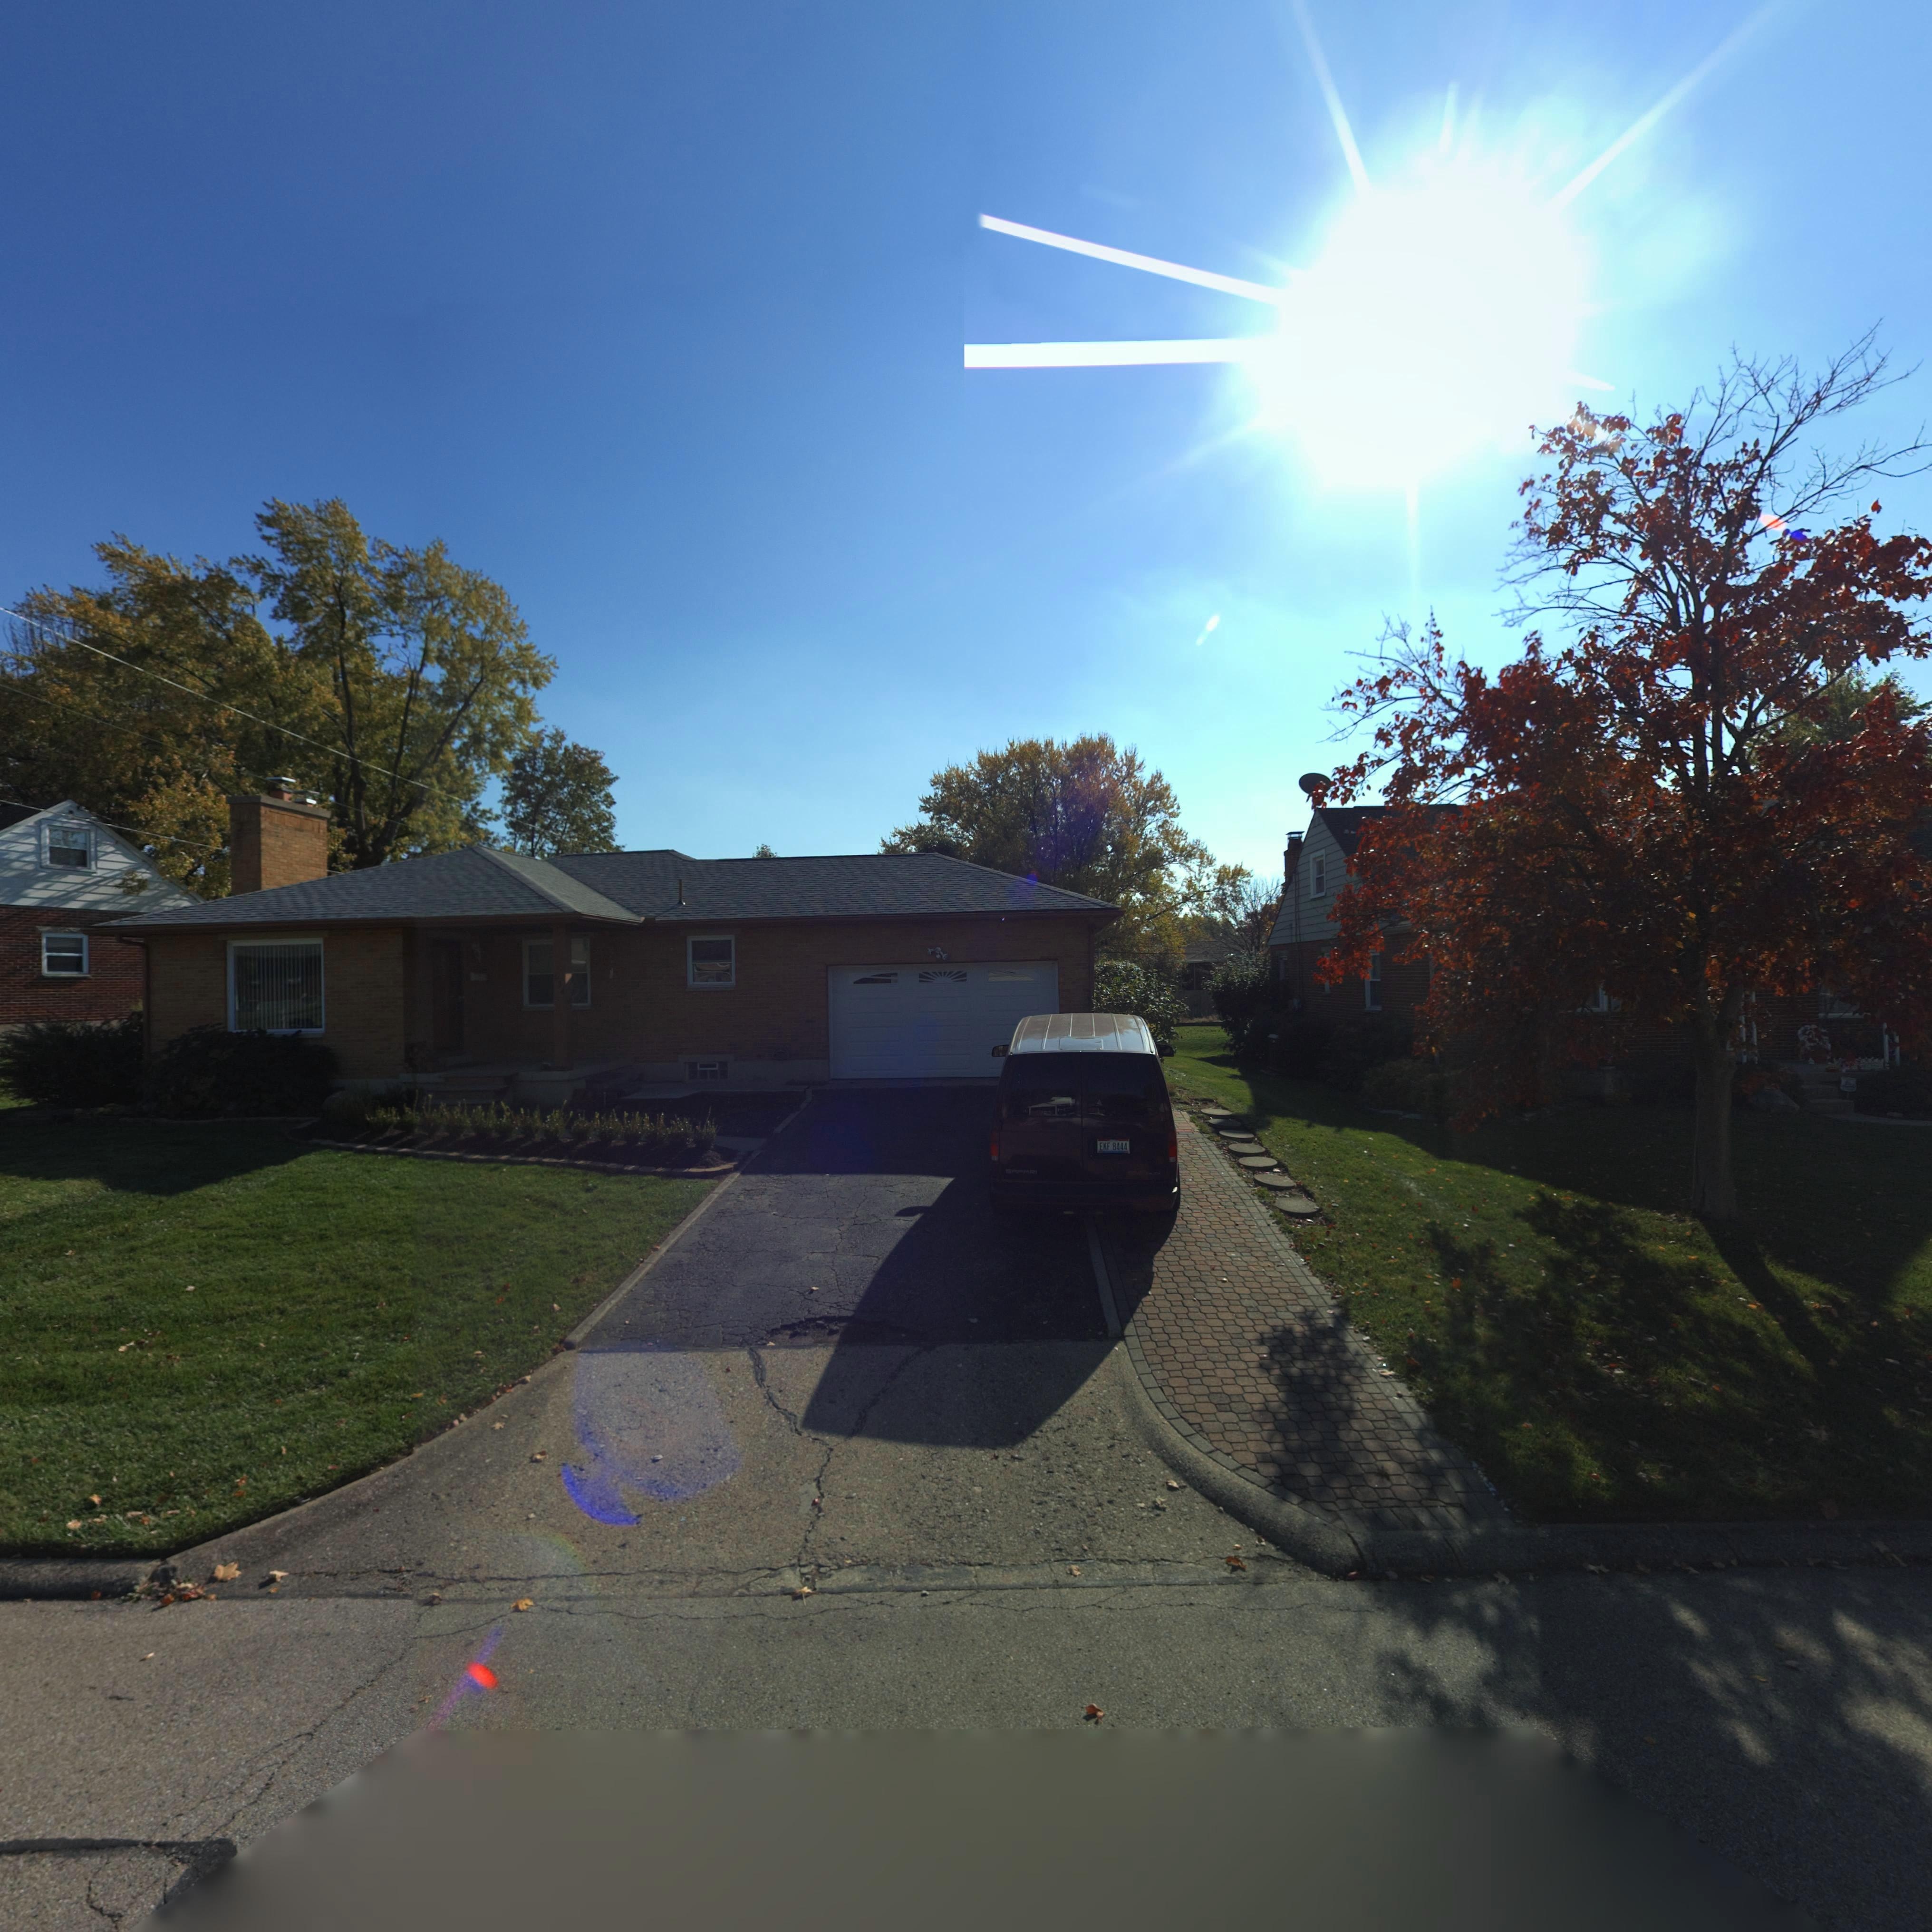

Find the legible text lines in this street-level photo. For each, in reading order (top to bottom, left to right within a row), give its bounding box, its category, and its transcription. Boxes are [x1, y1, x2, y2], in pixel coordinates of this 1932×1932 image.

[554, 972, 565, 995] StreetNumber: 634
[1099, 1142, 1128, 1151] None: EKF*8444
[1005, 1169, 1038, 1175] None: SAFARI